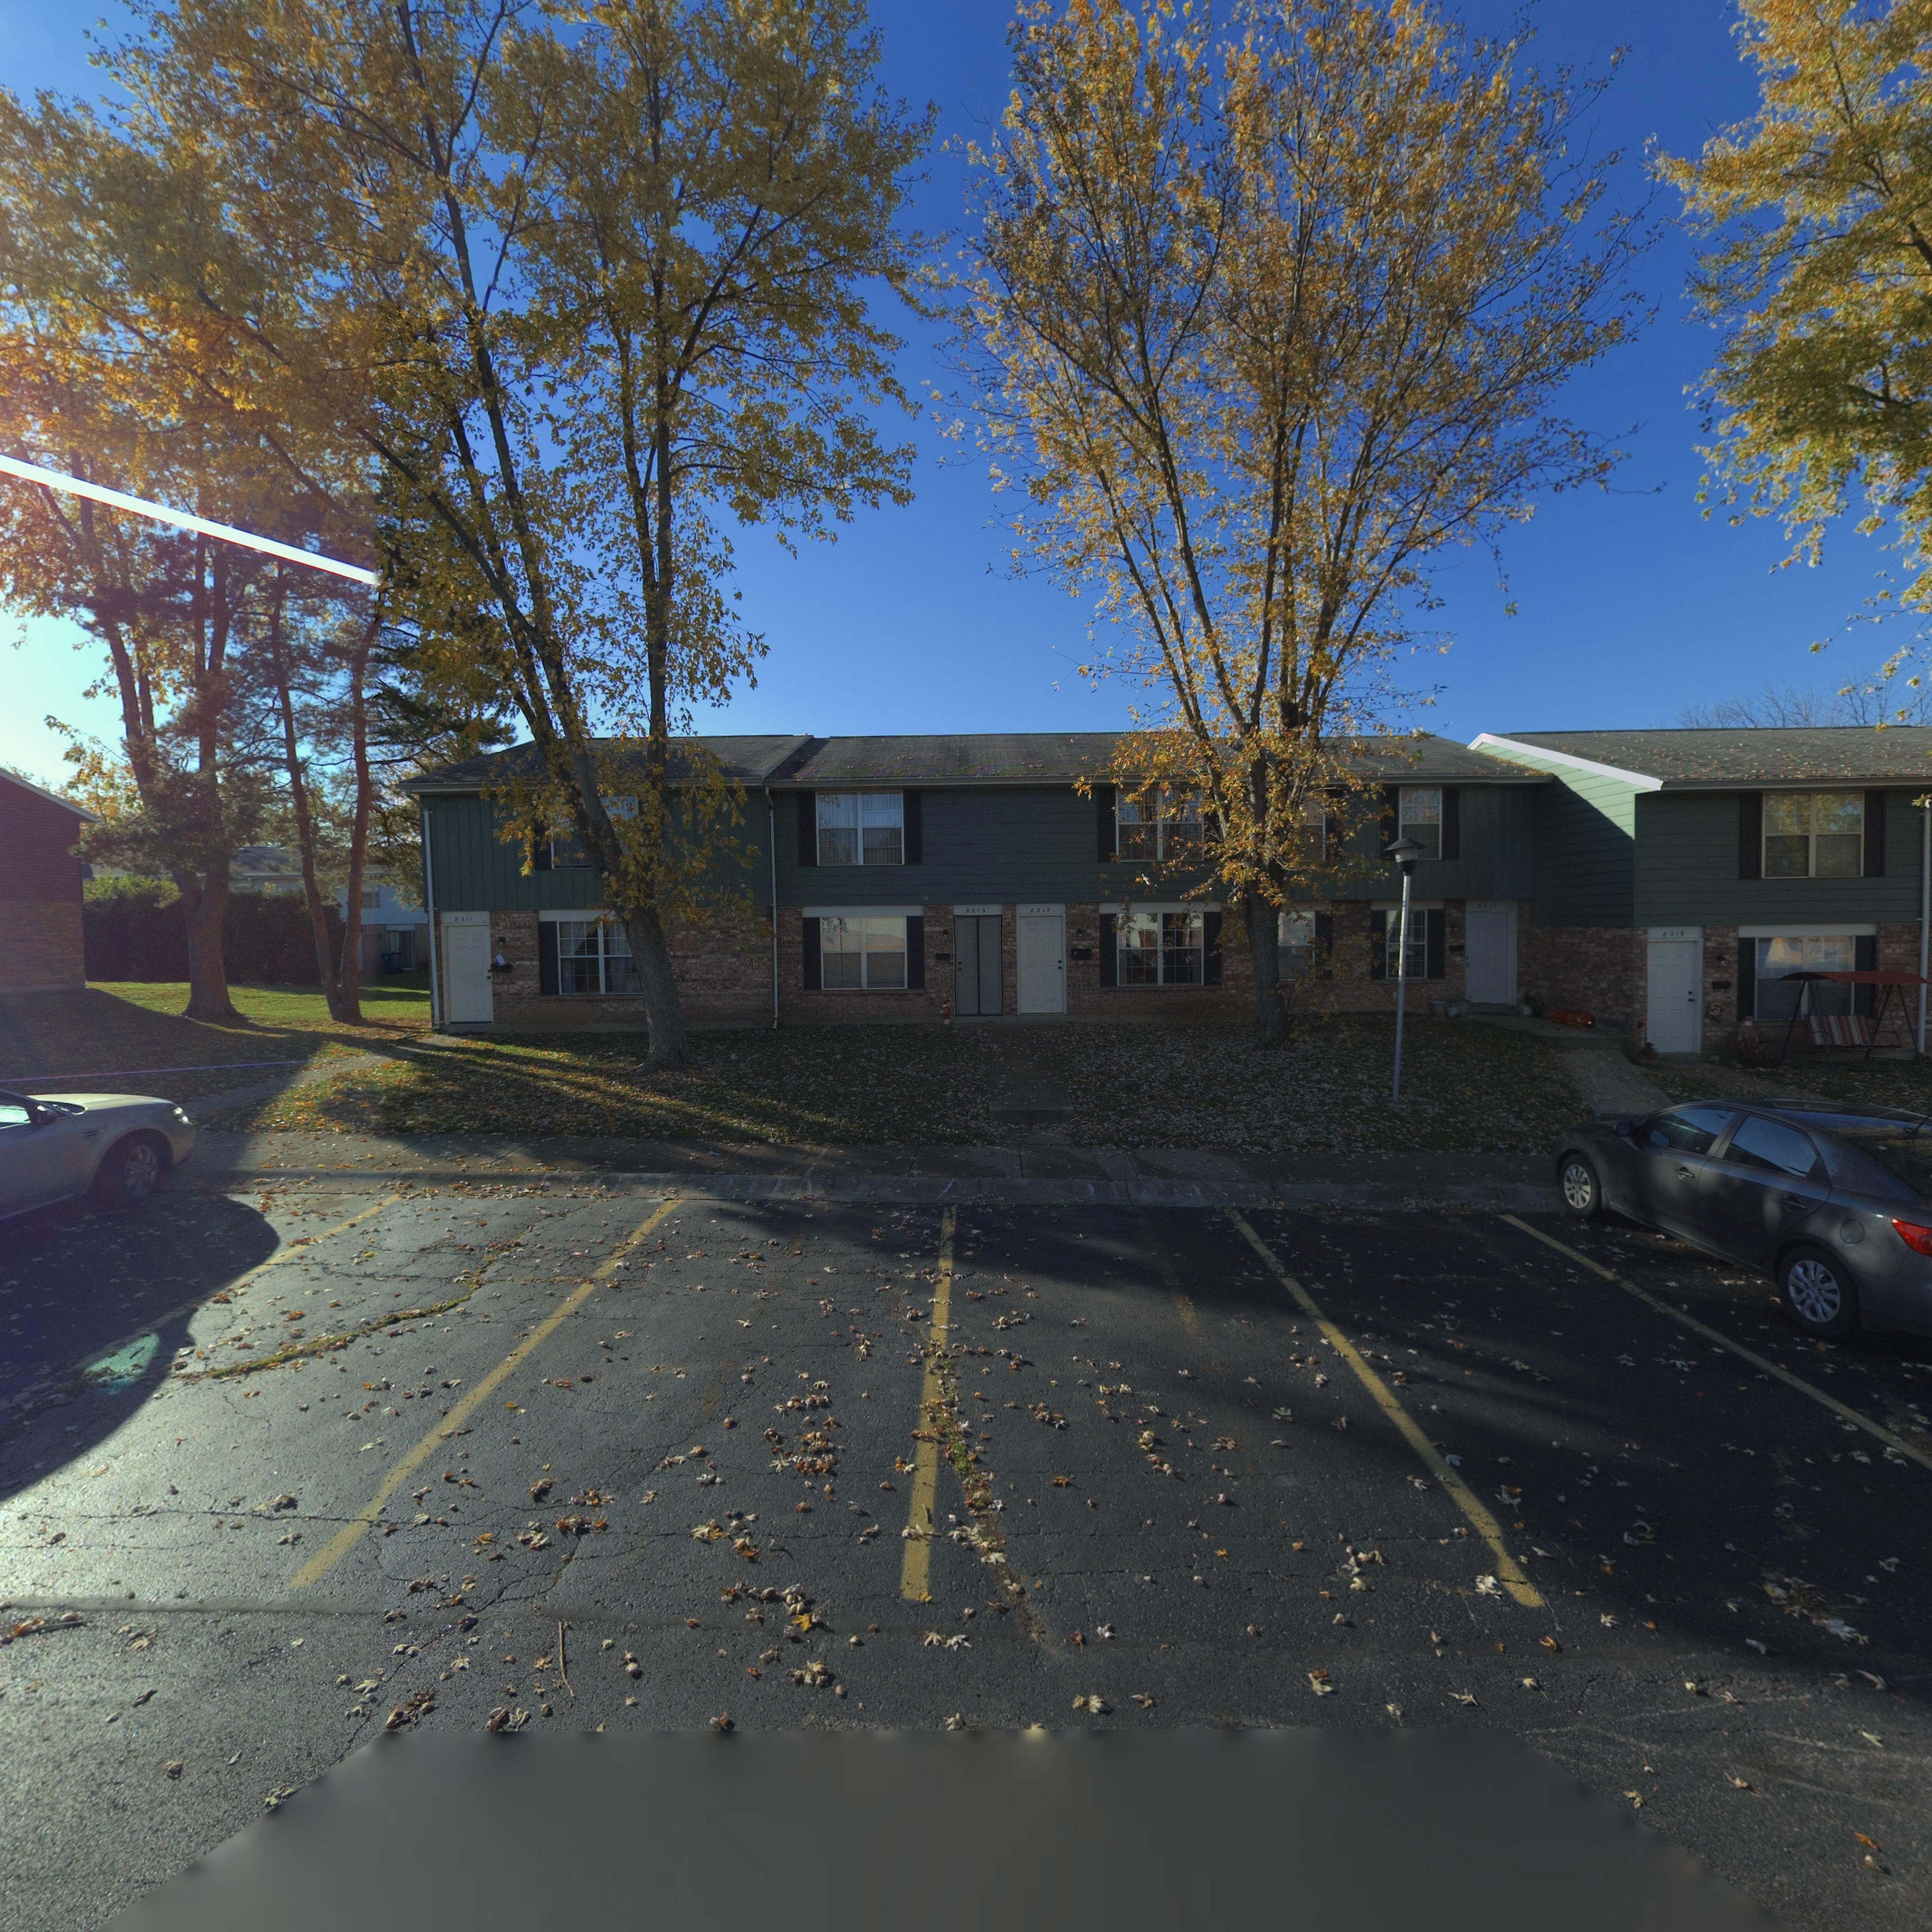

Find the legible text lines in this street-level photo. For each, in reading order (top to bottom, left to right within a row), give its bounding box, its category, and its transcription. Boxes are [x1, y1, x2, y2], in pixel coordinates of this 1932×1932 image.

[966, 908, 985, 913] StreetNumber: 8213
[1029, 907, 1050, 913] StreetNumber: 8215
[454, 916, 472, 922] StreetNumber: 8211
[1661, 930, 1685, 938] StreetNumber: 8219